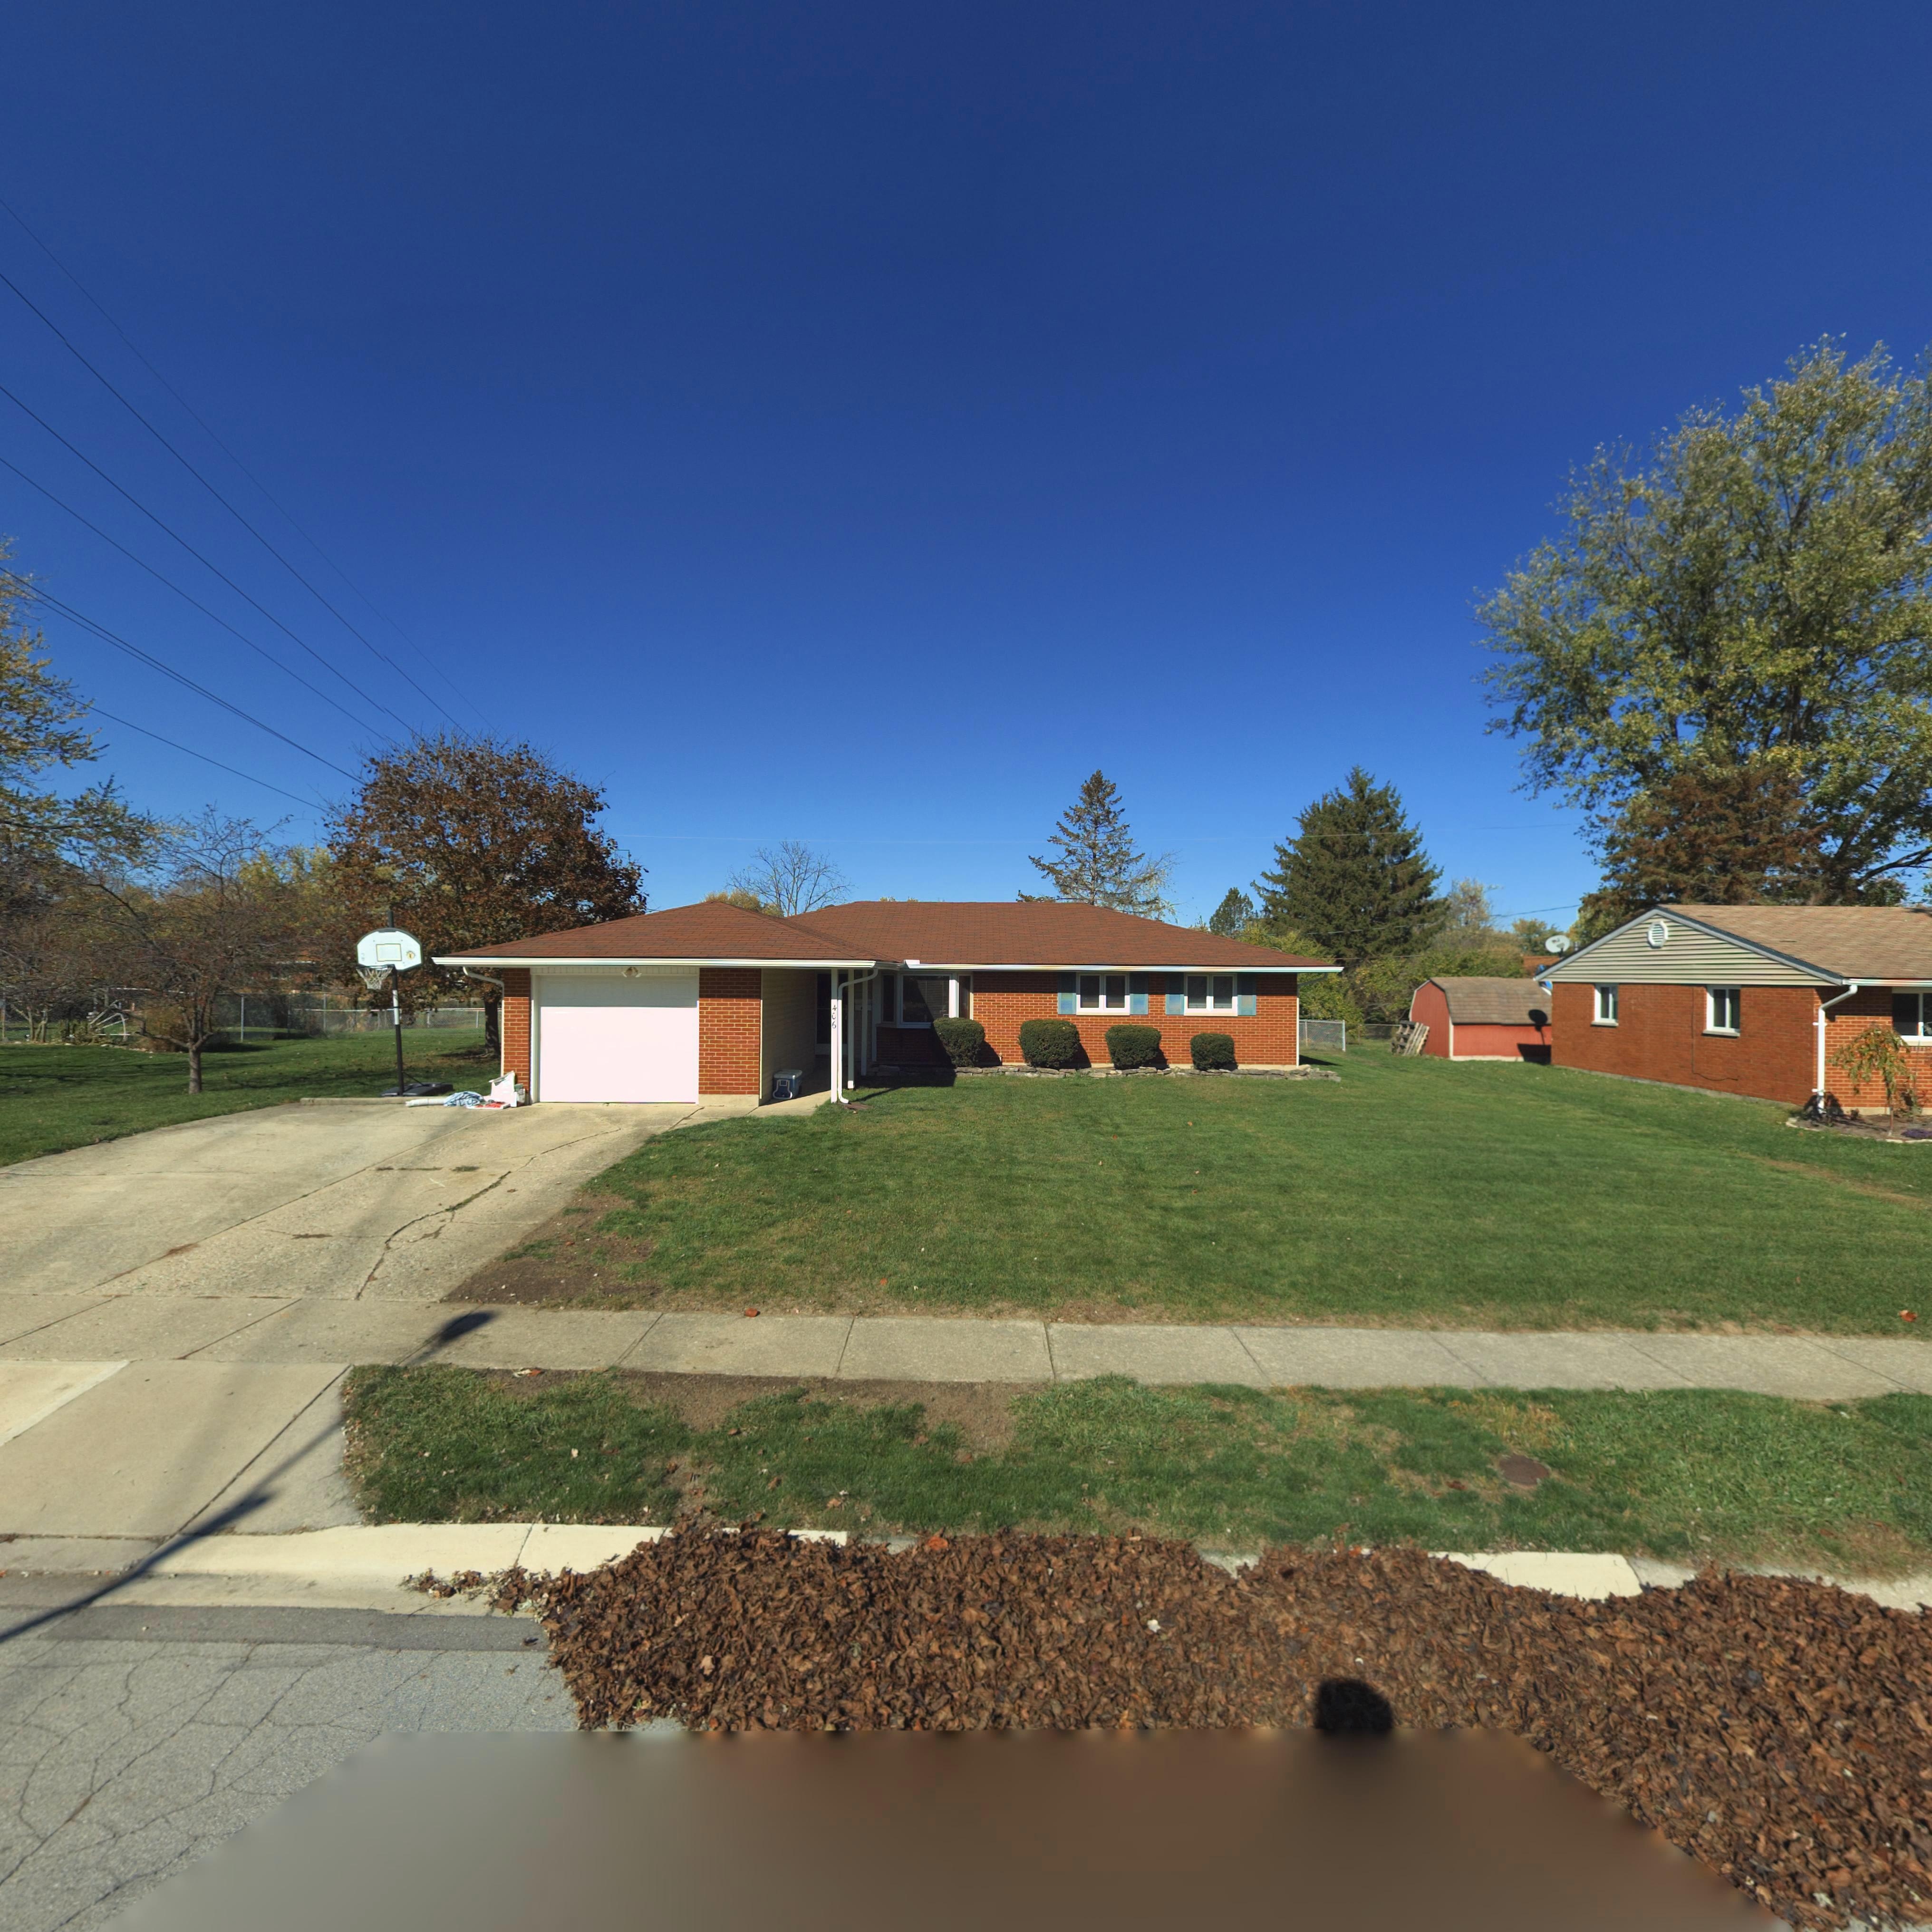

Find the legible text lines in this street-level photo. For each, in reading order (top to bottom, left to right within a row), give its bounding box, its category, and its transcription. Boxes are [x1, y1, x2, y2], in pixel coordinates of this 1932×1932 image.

[831, 1004, 837, 1030] StreetNumber: 406